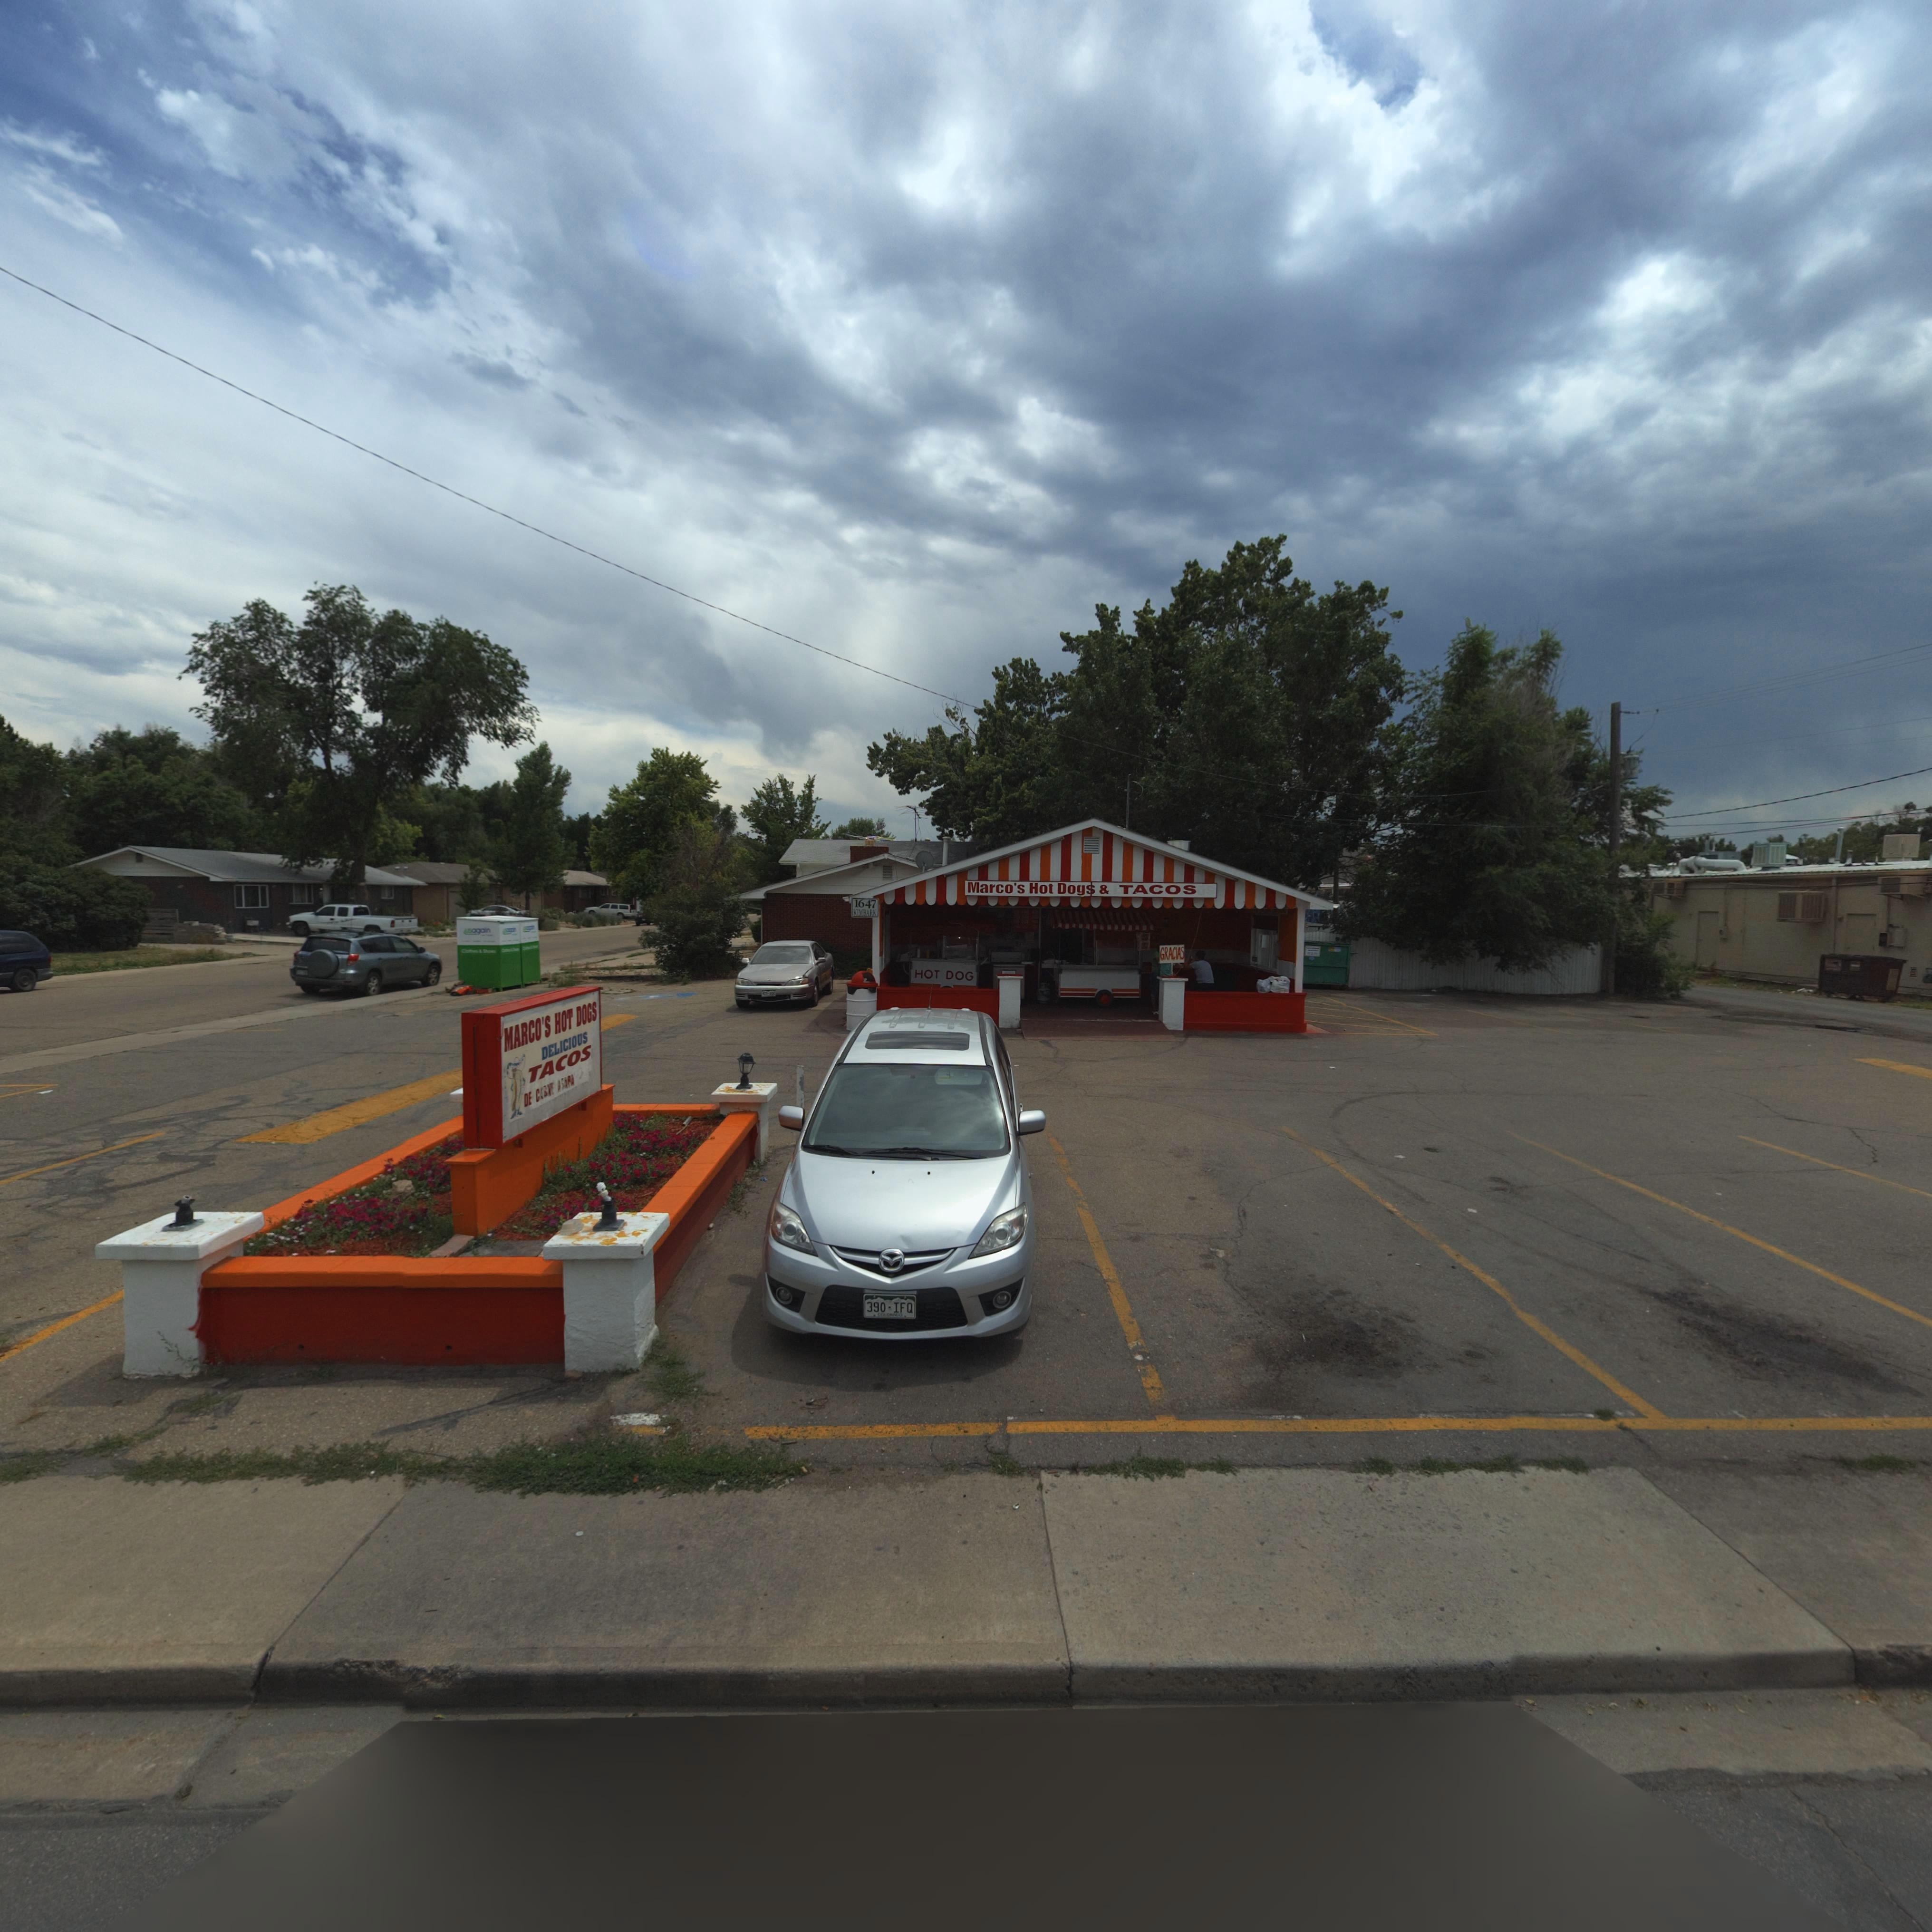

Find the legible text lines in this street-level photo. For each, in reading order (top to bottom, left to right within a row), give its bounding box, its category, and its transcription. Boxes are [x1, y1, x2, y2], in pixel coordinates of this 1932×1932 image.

[966, 881, 1197, 896] BusinessName: Marco's Hot Dogs & TACOS
[854, 899, 876, 909] StreetNumber: 1647
[853, 908, 877, 917] StreetName: KIMBARK
[503, 1001, 598, 1053] BusinessName: MARCOS'S HOT DOGS